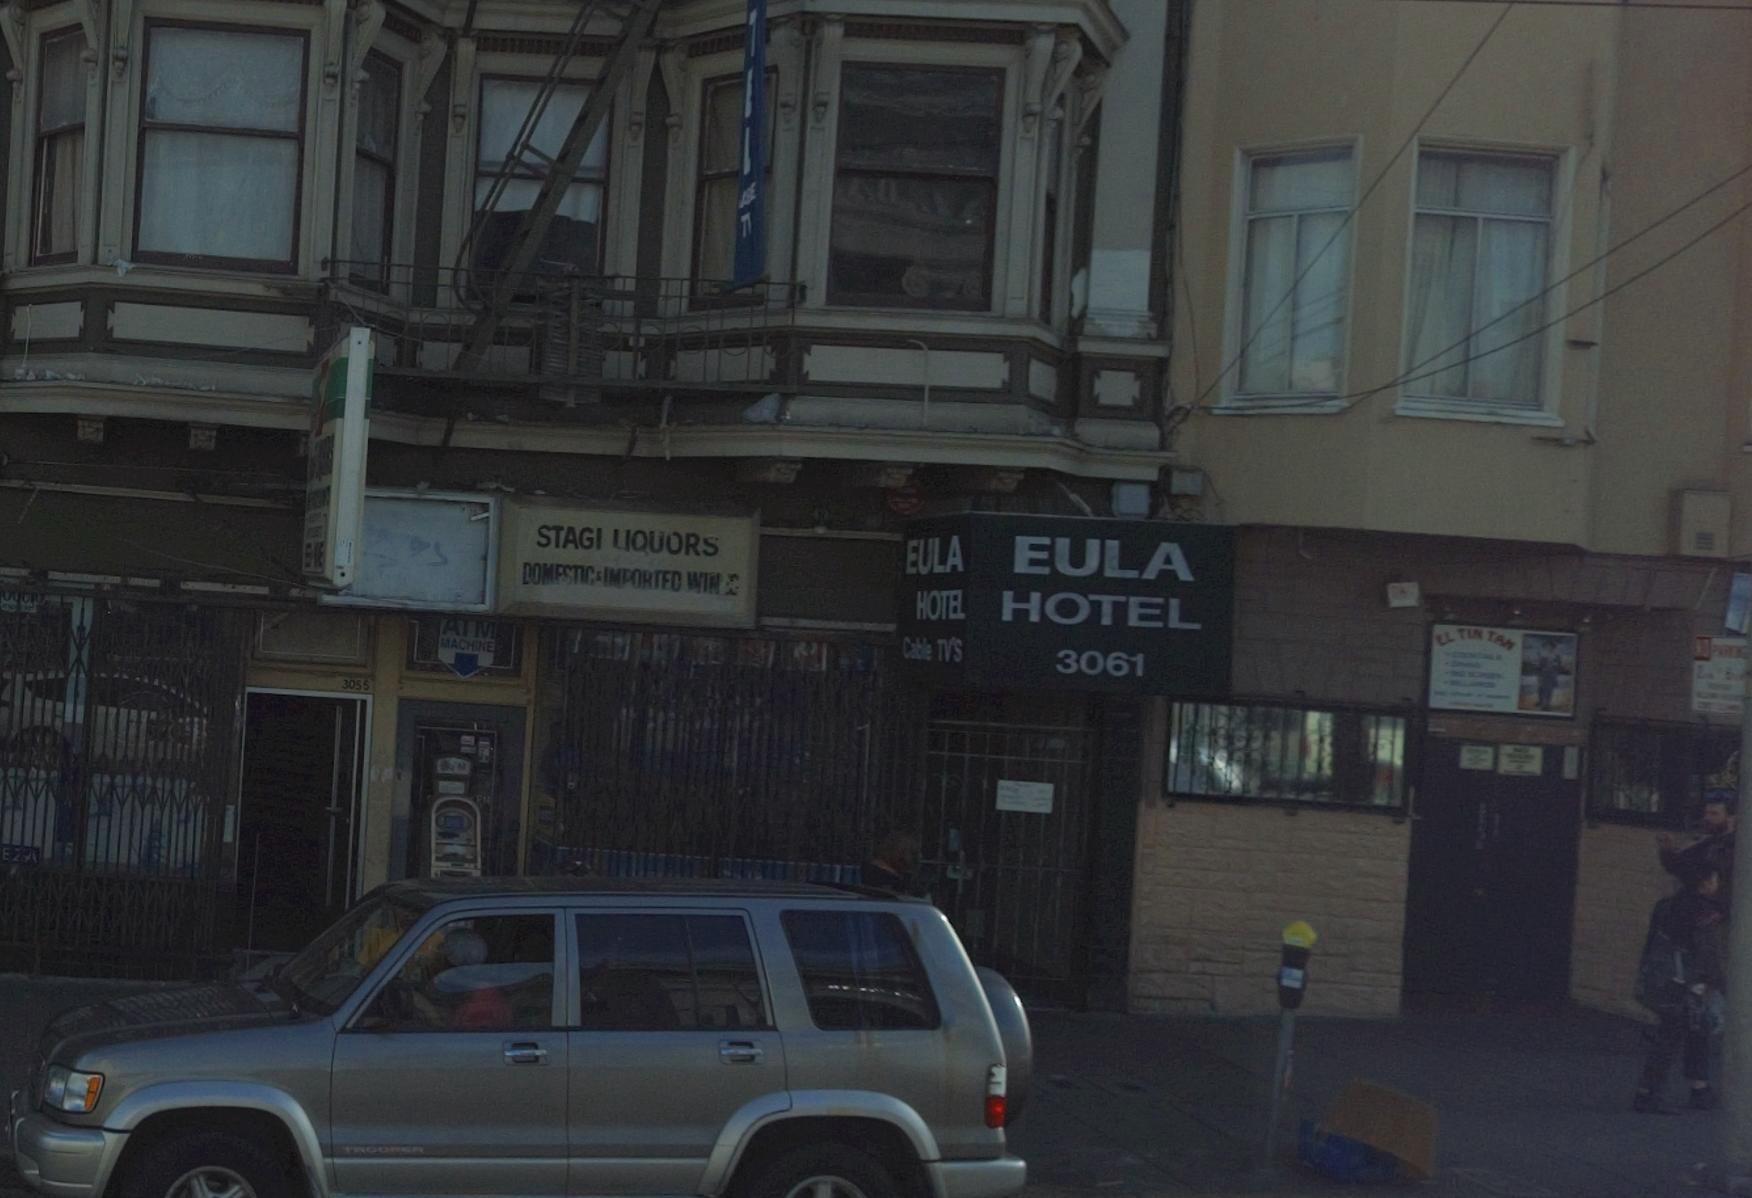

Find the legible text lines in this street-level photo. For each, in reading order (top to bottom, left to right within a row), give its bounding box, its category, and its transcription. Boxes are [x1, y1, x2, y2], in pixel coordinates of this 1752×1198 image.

[533, 520, 724, 560] BusinessName: STAGI LIQUORS
[901, 531, 968, 579] BusinessName: EULA
[1010, 532, 1206, 586] BusinessName: EULA
[518, 557, 744, 600] None: DOMESTIC & IMPORTED WIN**
[911, 586, 971, 624] BusinessName: HOTEL
[999, 586, 1205, 632] BusinessName: HOTEL
[438, 634, 498, 656] None: MACHINE
[898, 633, 968, 666] None: Cable TV'S
[1051, 646, 1149, 681] StreetNumber: 3061
[1429, 625, 1522, 654] None: EL TIN TAM
[338, 675, 373, 693] StreetNumber: 3055
[338, 1143, 428, 1157] None: TROOPER